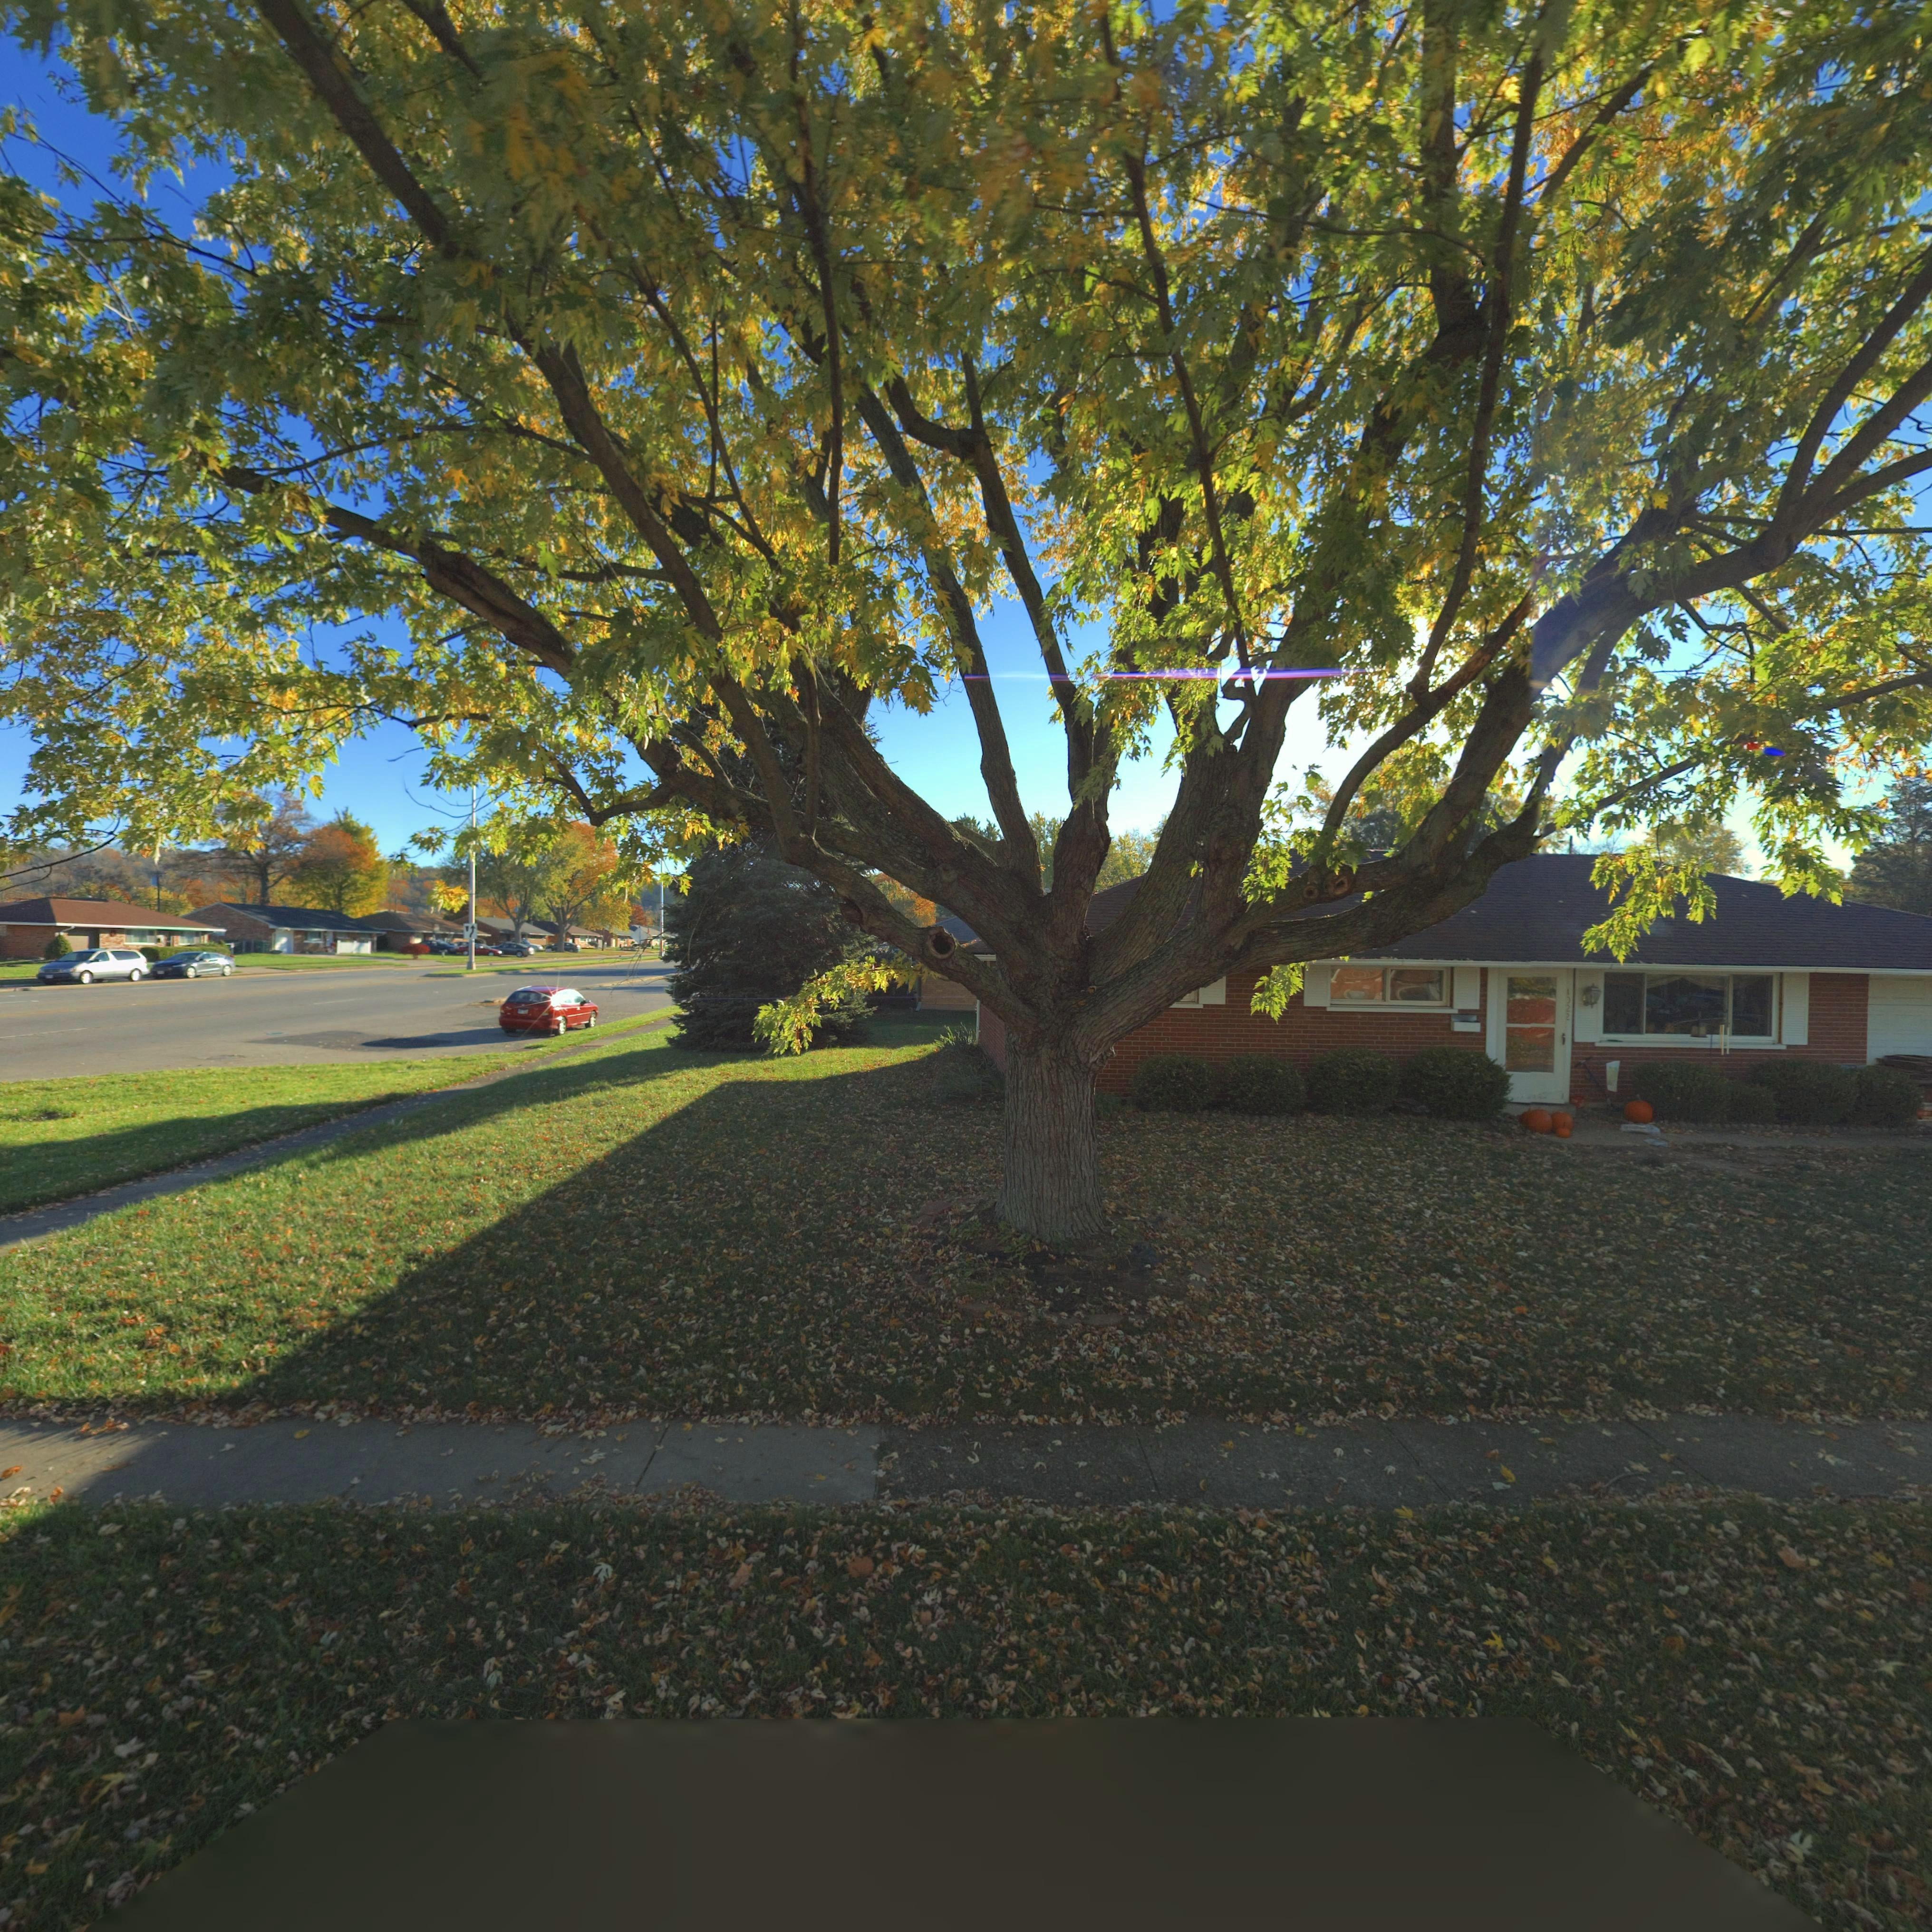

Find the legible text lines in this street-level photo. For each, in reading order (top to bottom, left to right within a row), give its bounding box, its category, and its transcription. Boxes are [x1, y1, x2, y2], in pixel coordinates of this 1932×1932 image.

[1566, 987, 1571, 1021] StreetNumber: 4022